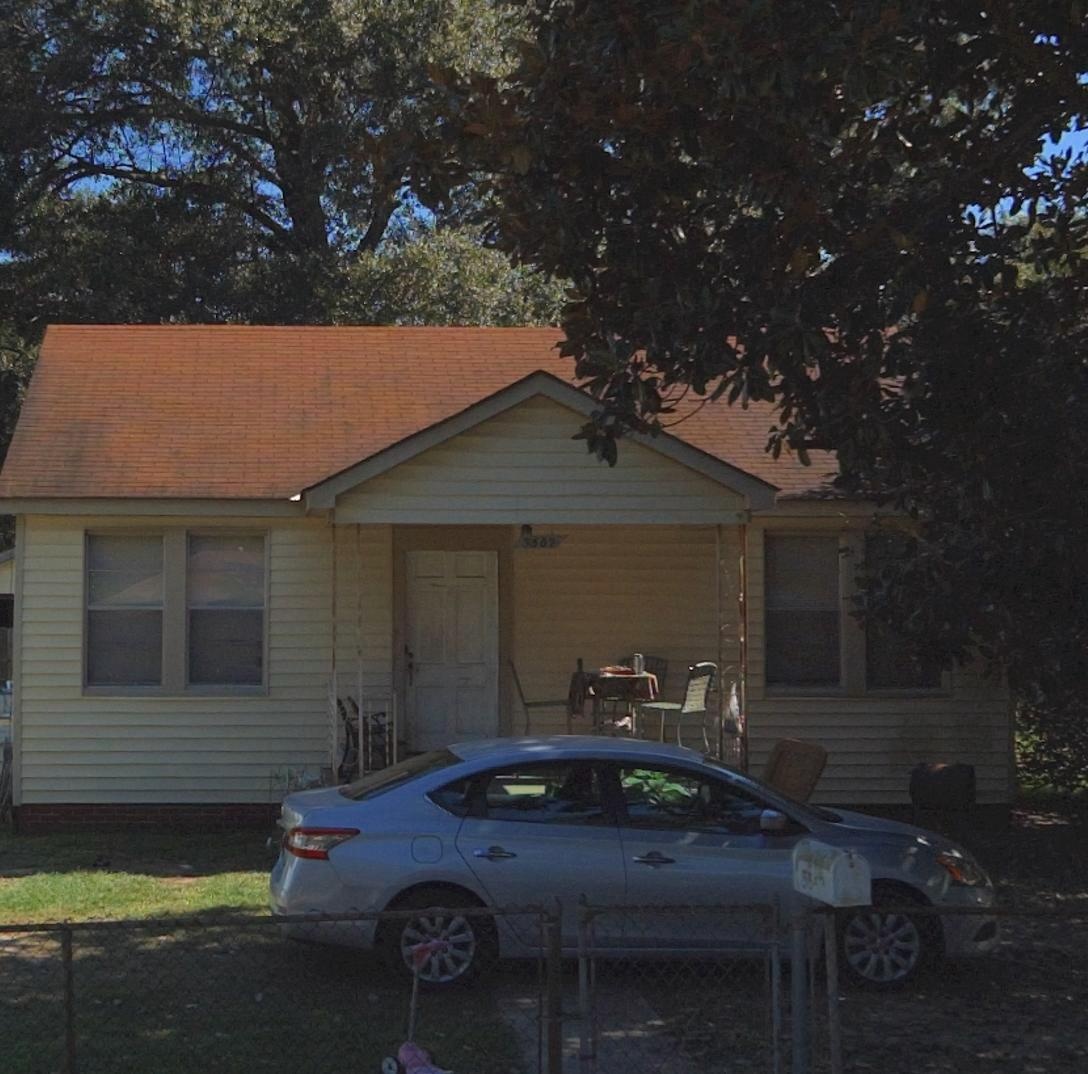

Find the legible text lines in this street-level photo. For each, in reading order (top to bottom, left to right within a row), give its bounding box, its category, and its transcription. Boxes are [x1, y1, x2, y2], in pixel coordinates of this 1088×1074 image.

[521, 536, 557, 549] StreetNumber: 5567